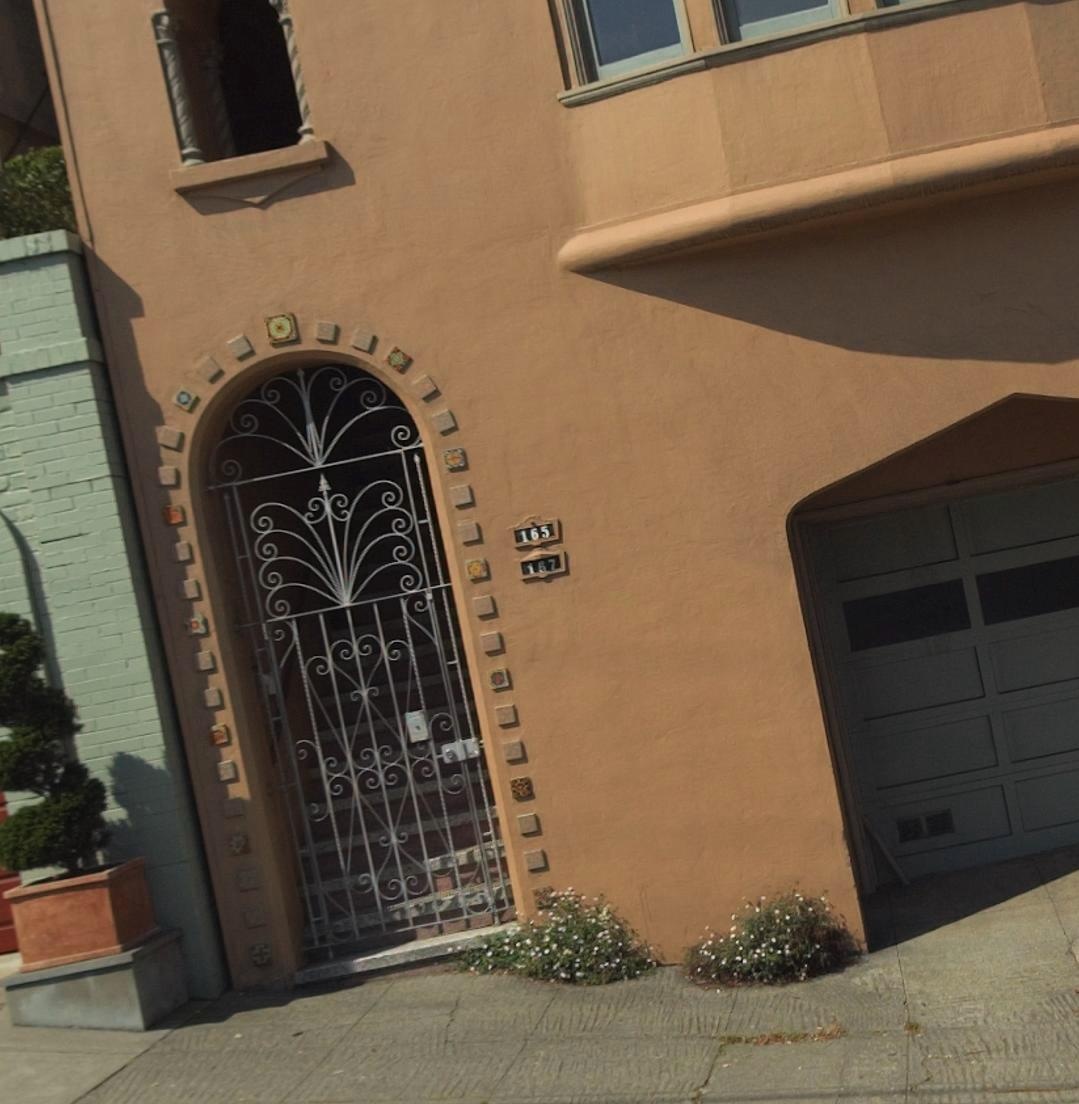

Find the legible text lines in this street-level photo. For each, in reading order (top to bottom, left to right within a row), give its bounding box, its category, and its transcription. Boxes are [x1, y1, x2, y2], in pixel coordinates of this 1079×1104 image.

[518, 524, 551, 544] StreetNumber: 165
[524, 556, 558, 577] StreetNumber: 157